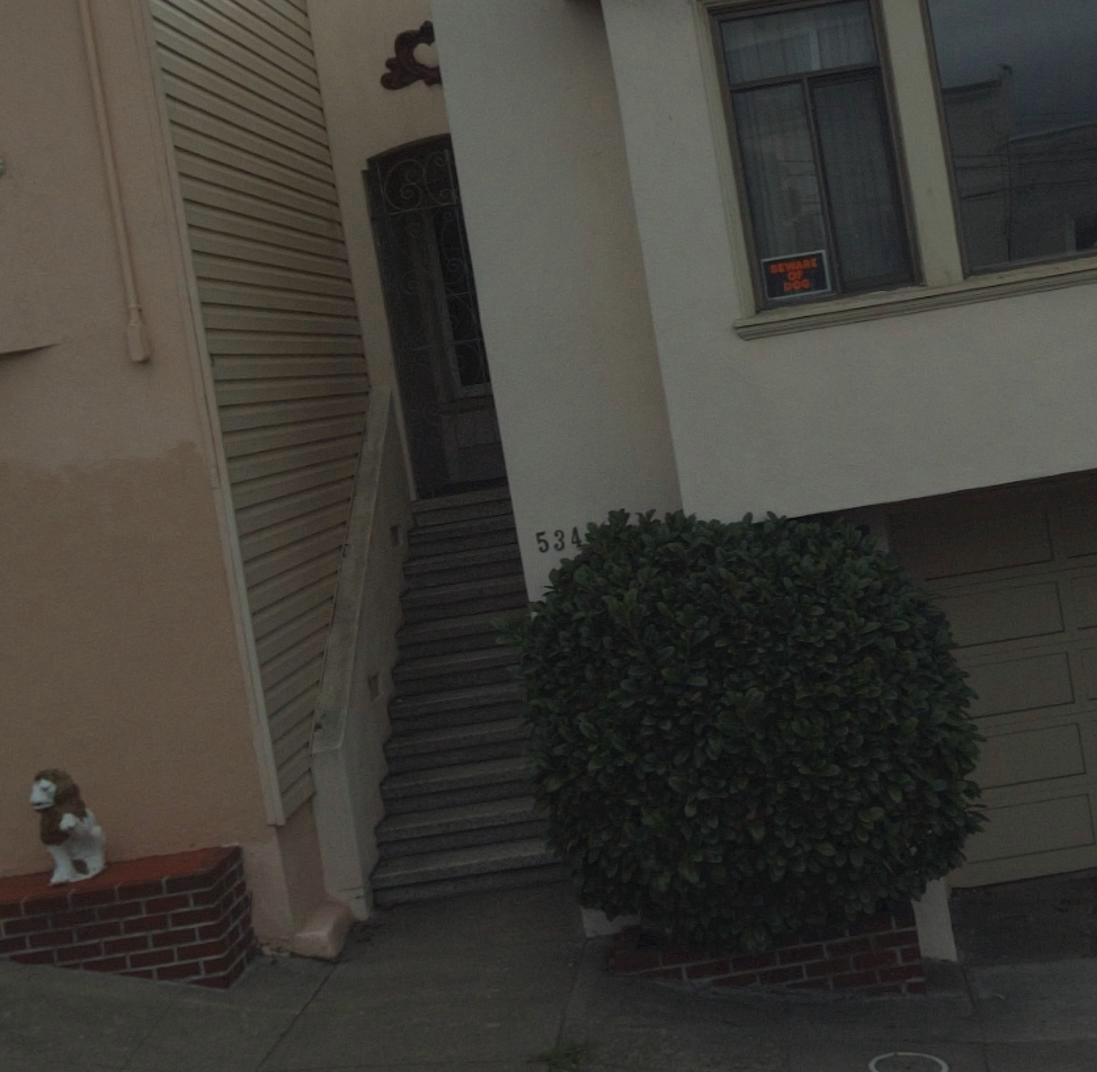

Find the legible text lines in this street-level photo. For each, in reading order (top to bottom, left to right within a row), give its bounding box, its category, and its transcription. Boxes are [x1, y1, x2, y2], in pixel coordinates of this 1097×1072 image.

[768, 257, 819, 275] None: BEWARE
[786, 270, 804, 281] None: OF
[783, 277, 811, 293] None: DOG
[535, 525, 586, 554] StreetNumber: 534